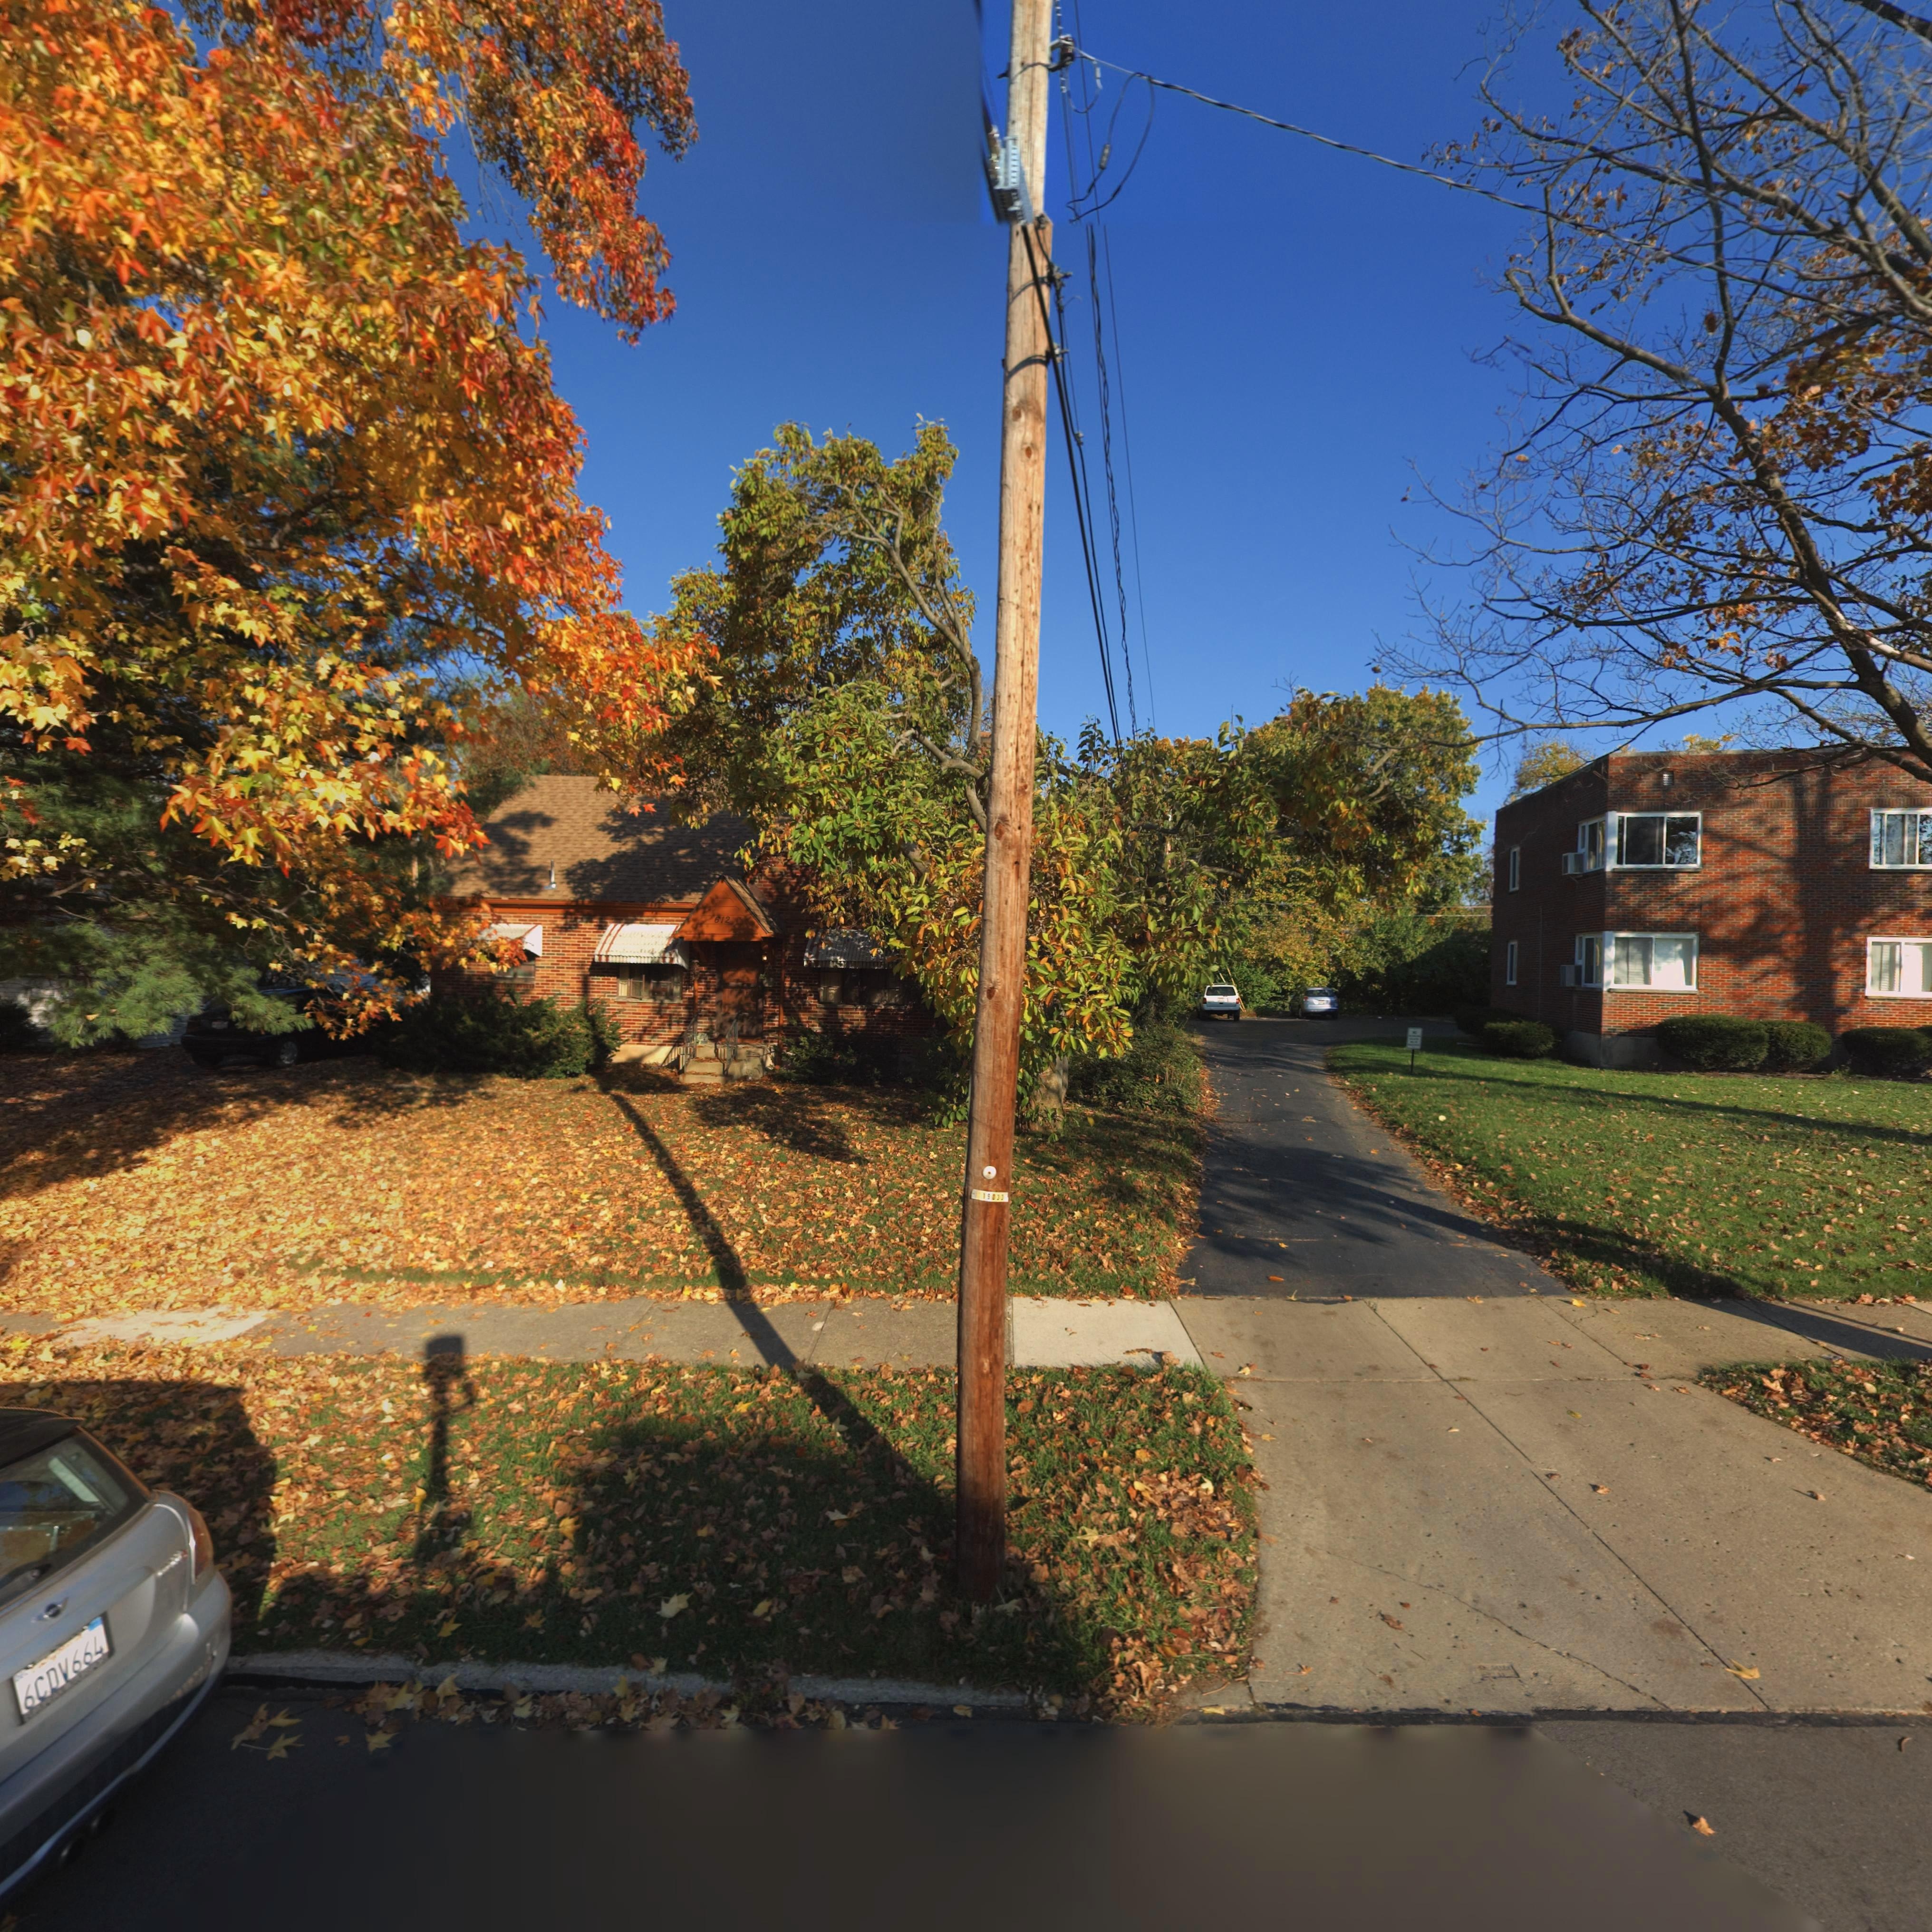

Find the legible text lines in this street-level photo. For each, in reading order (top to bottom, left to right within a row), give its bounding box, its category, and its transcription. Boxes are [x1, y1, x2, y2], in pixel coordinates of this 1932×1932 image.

[714, 915, 730, 923] StreetNumber: 612